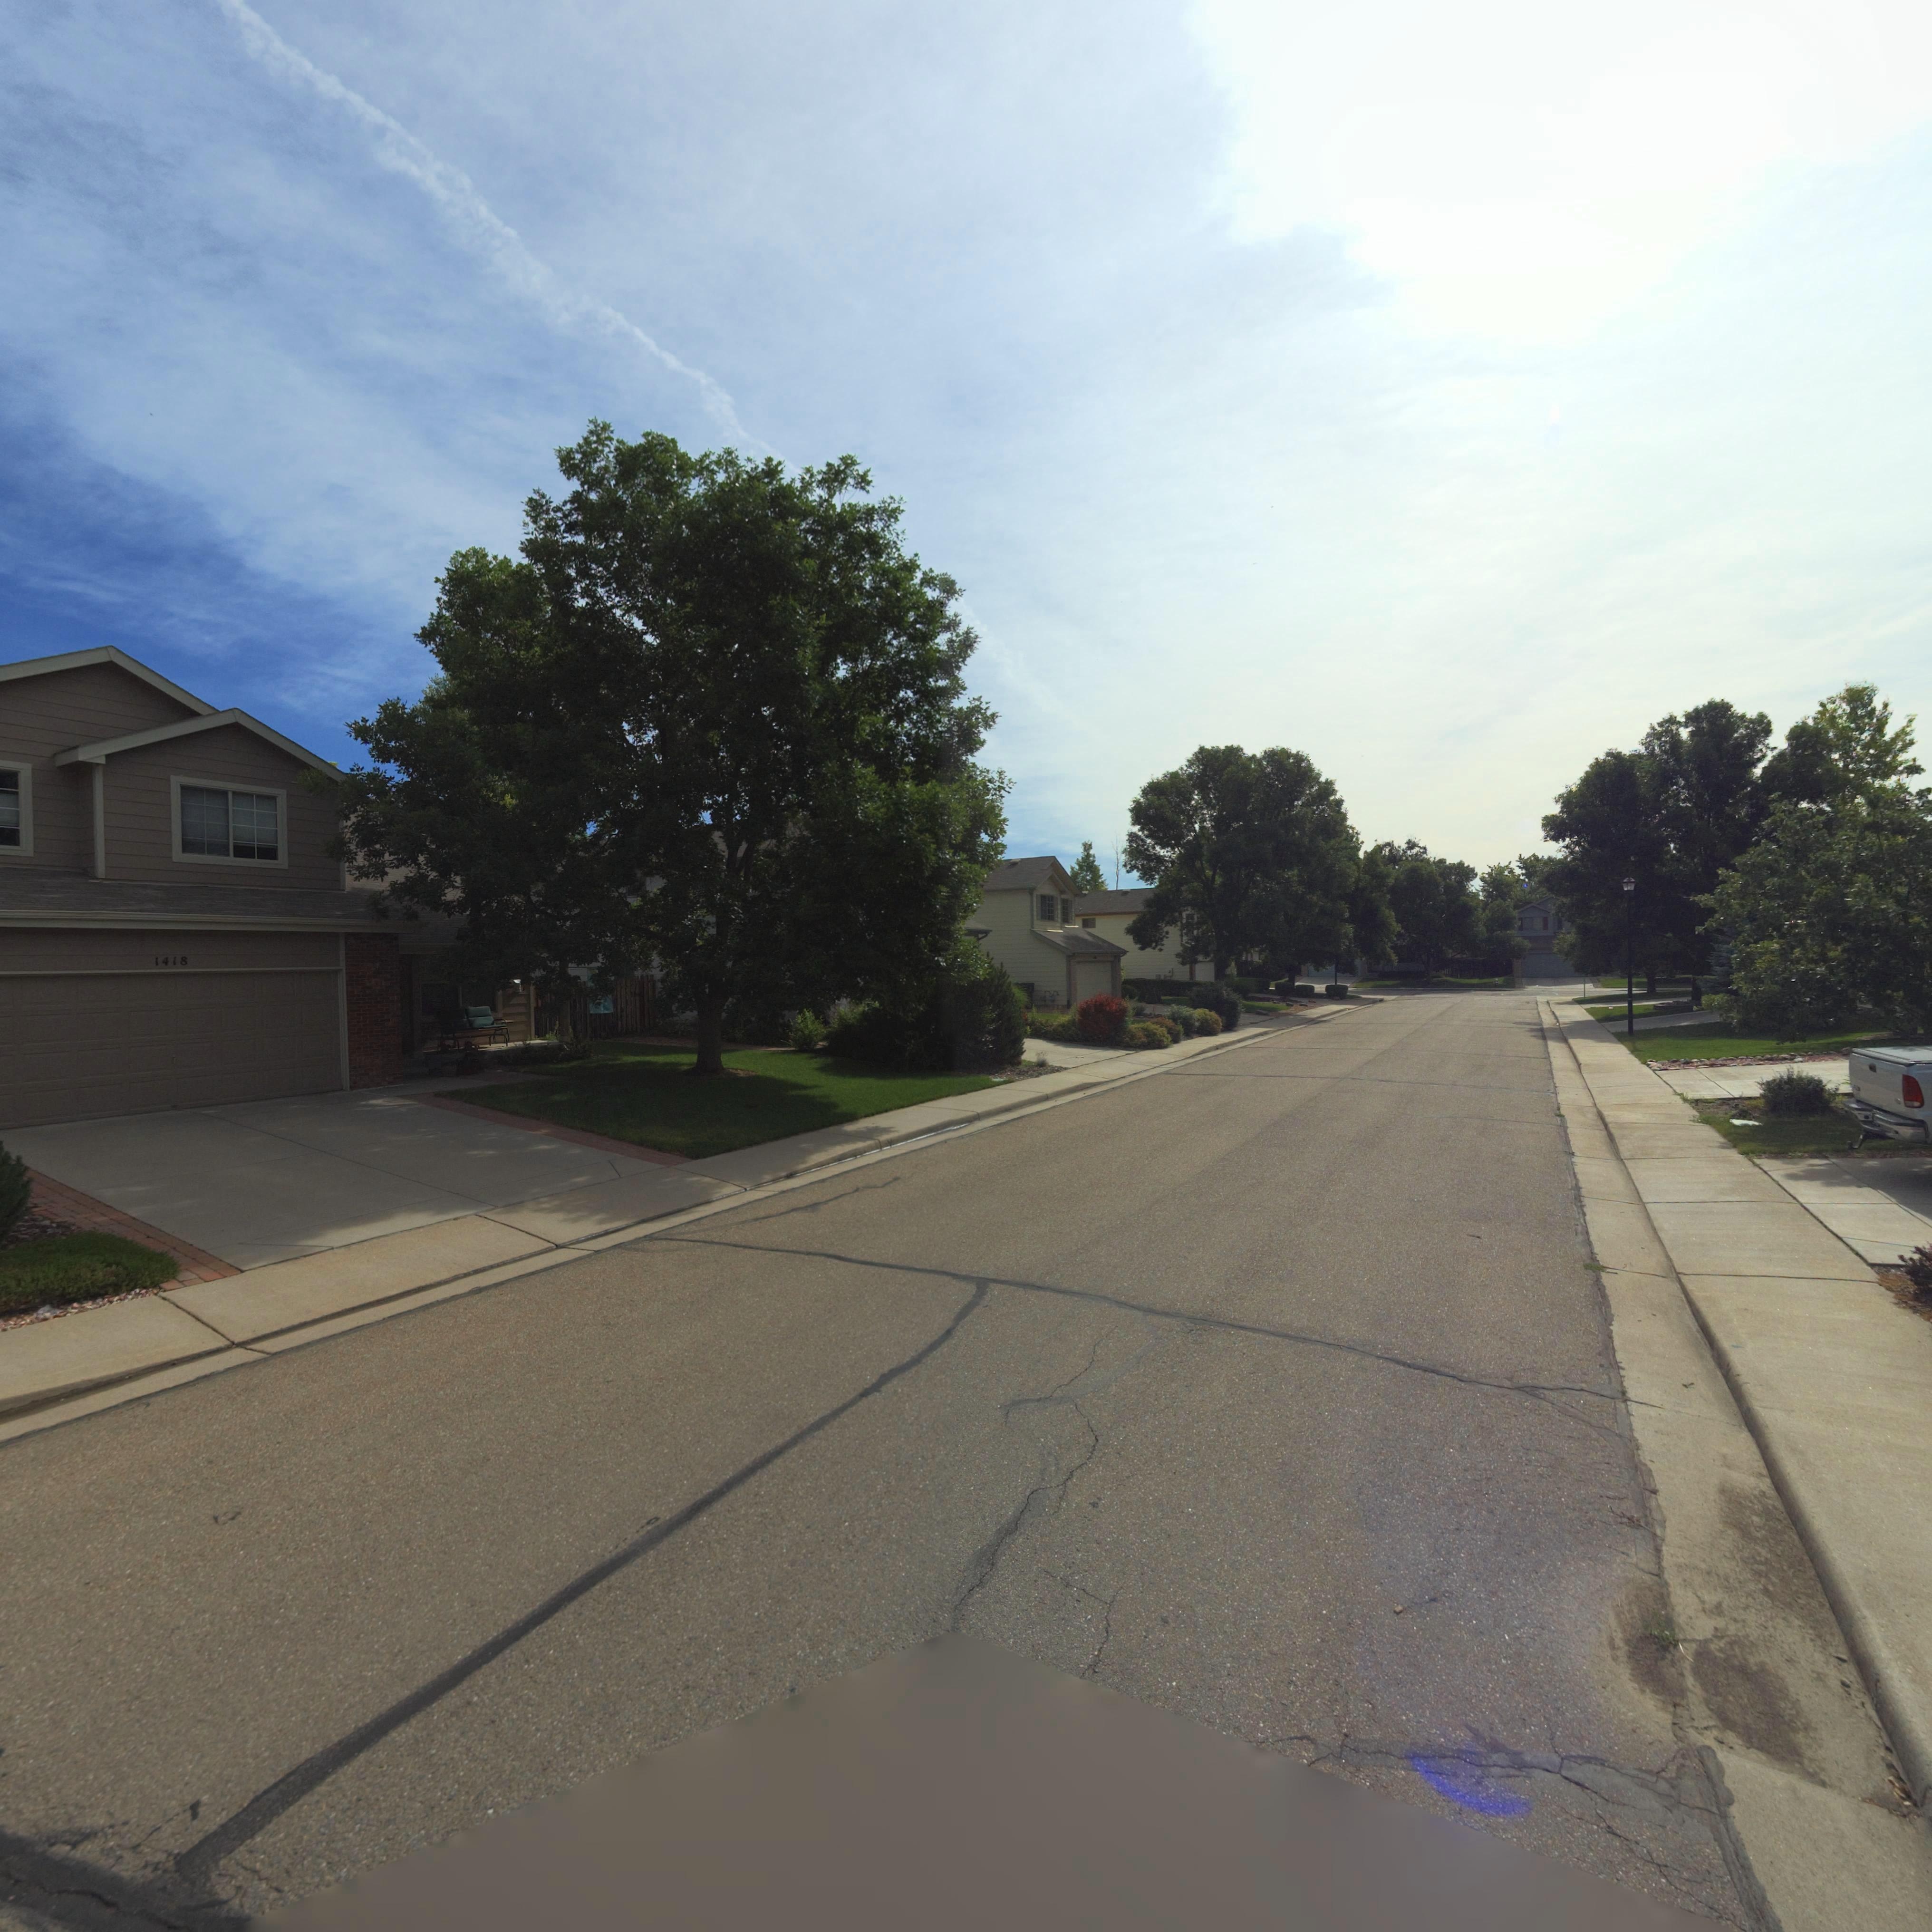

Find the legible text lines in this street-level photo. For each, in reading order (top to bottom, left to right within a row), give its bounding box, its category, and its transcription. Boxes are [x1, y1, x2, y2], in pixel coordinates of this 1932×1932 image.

[154, 955, 188, 967] StreetNumber: 1418